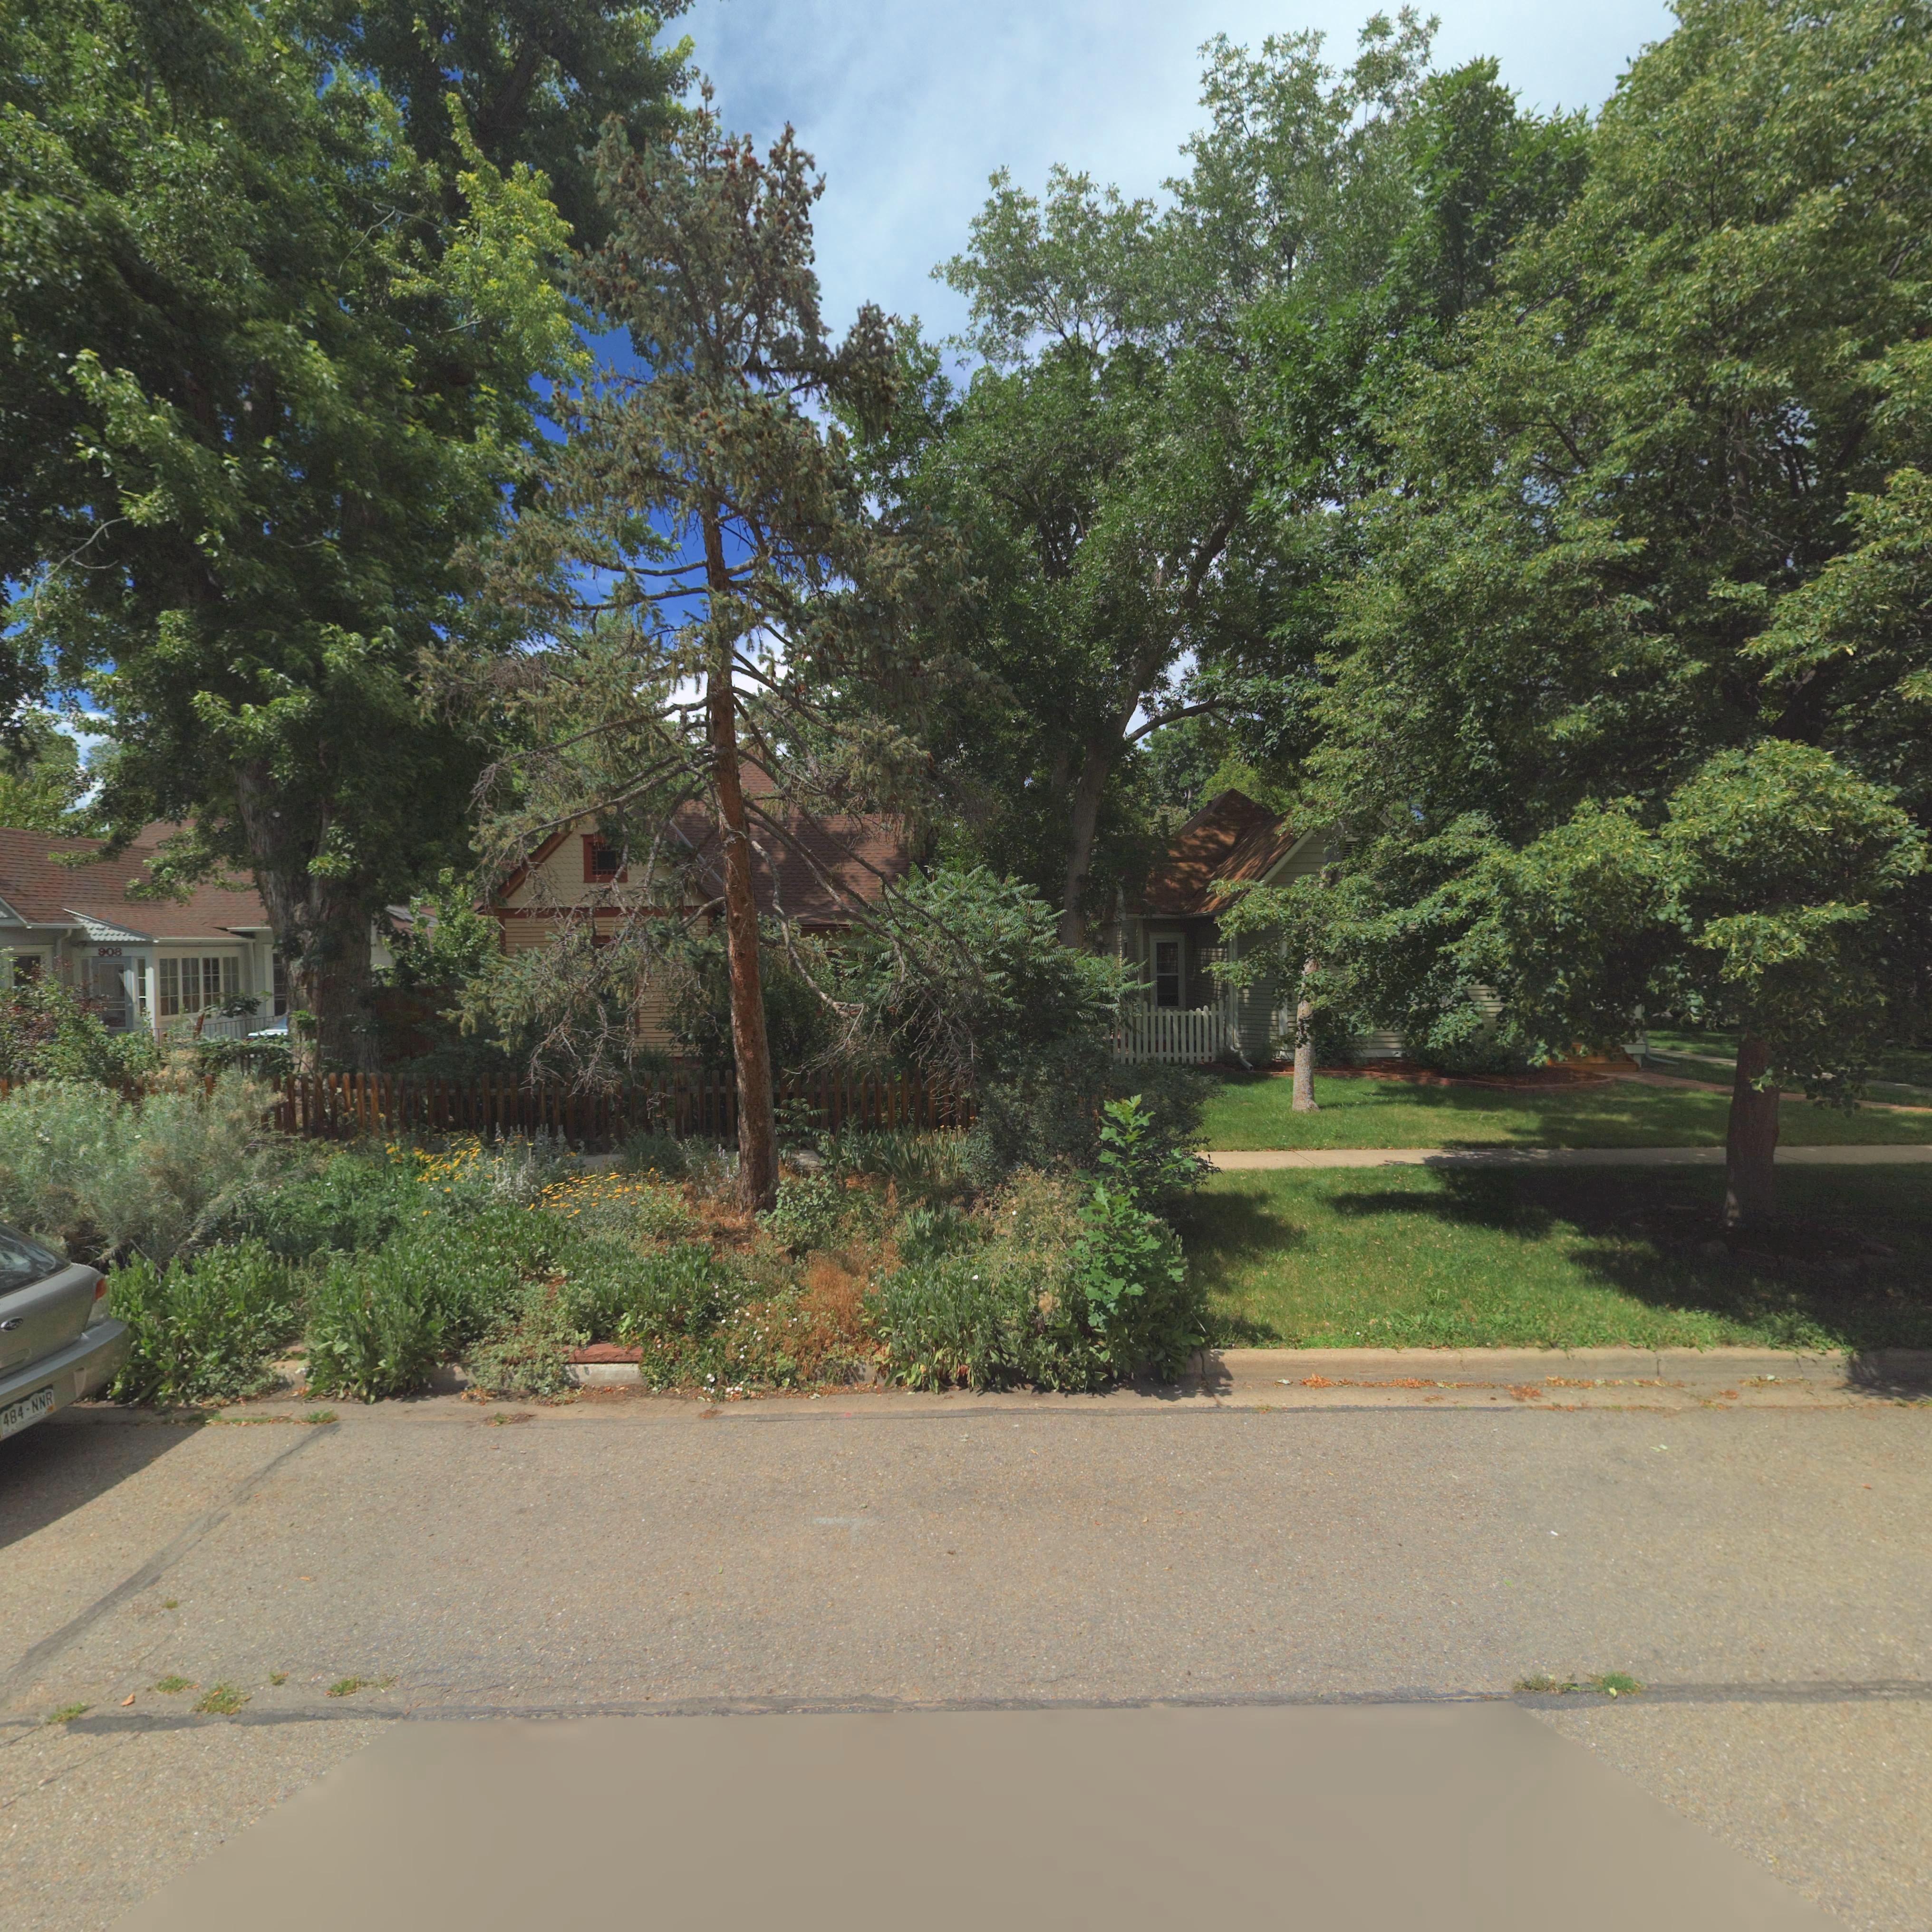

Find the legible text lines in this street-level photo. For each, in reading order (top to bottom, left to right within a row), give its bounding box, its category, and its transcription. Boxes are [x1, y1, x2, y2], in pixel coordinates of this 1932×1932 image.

[97, 947, 122, 956] StreetNumber: 908